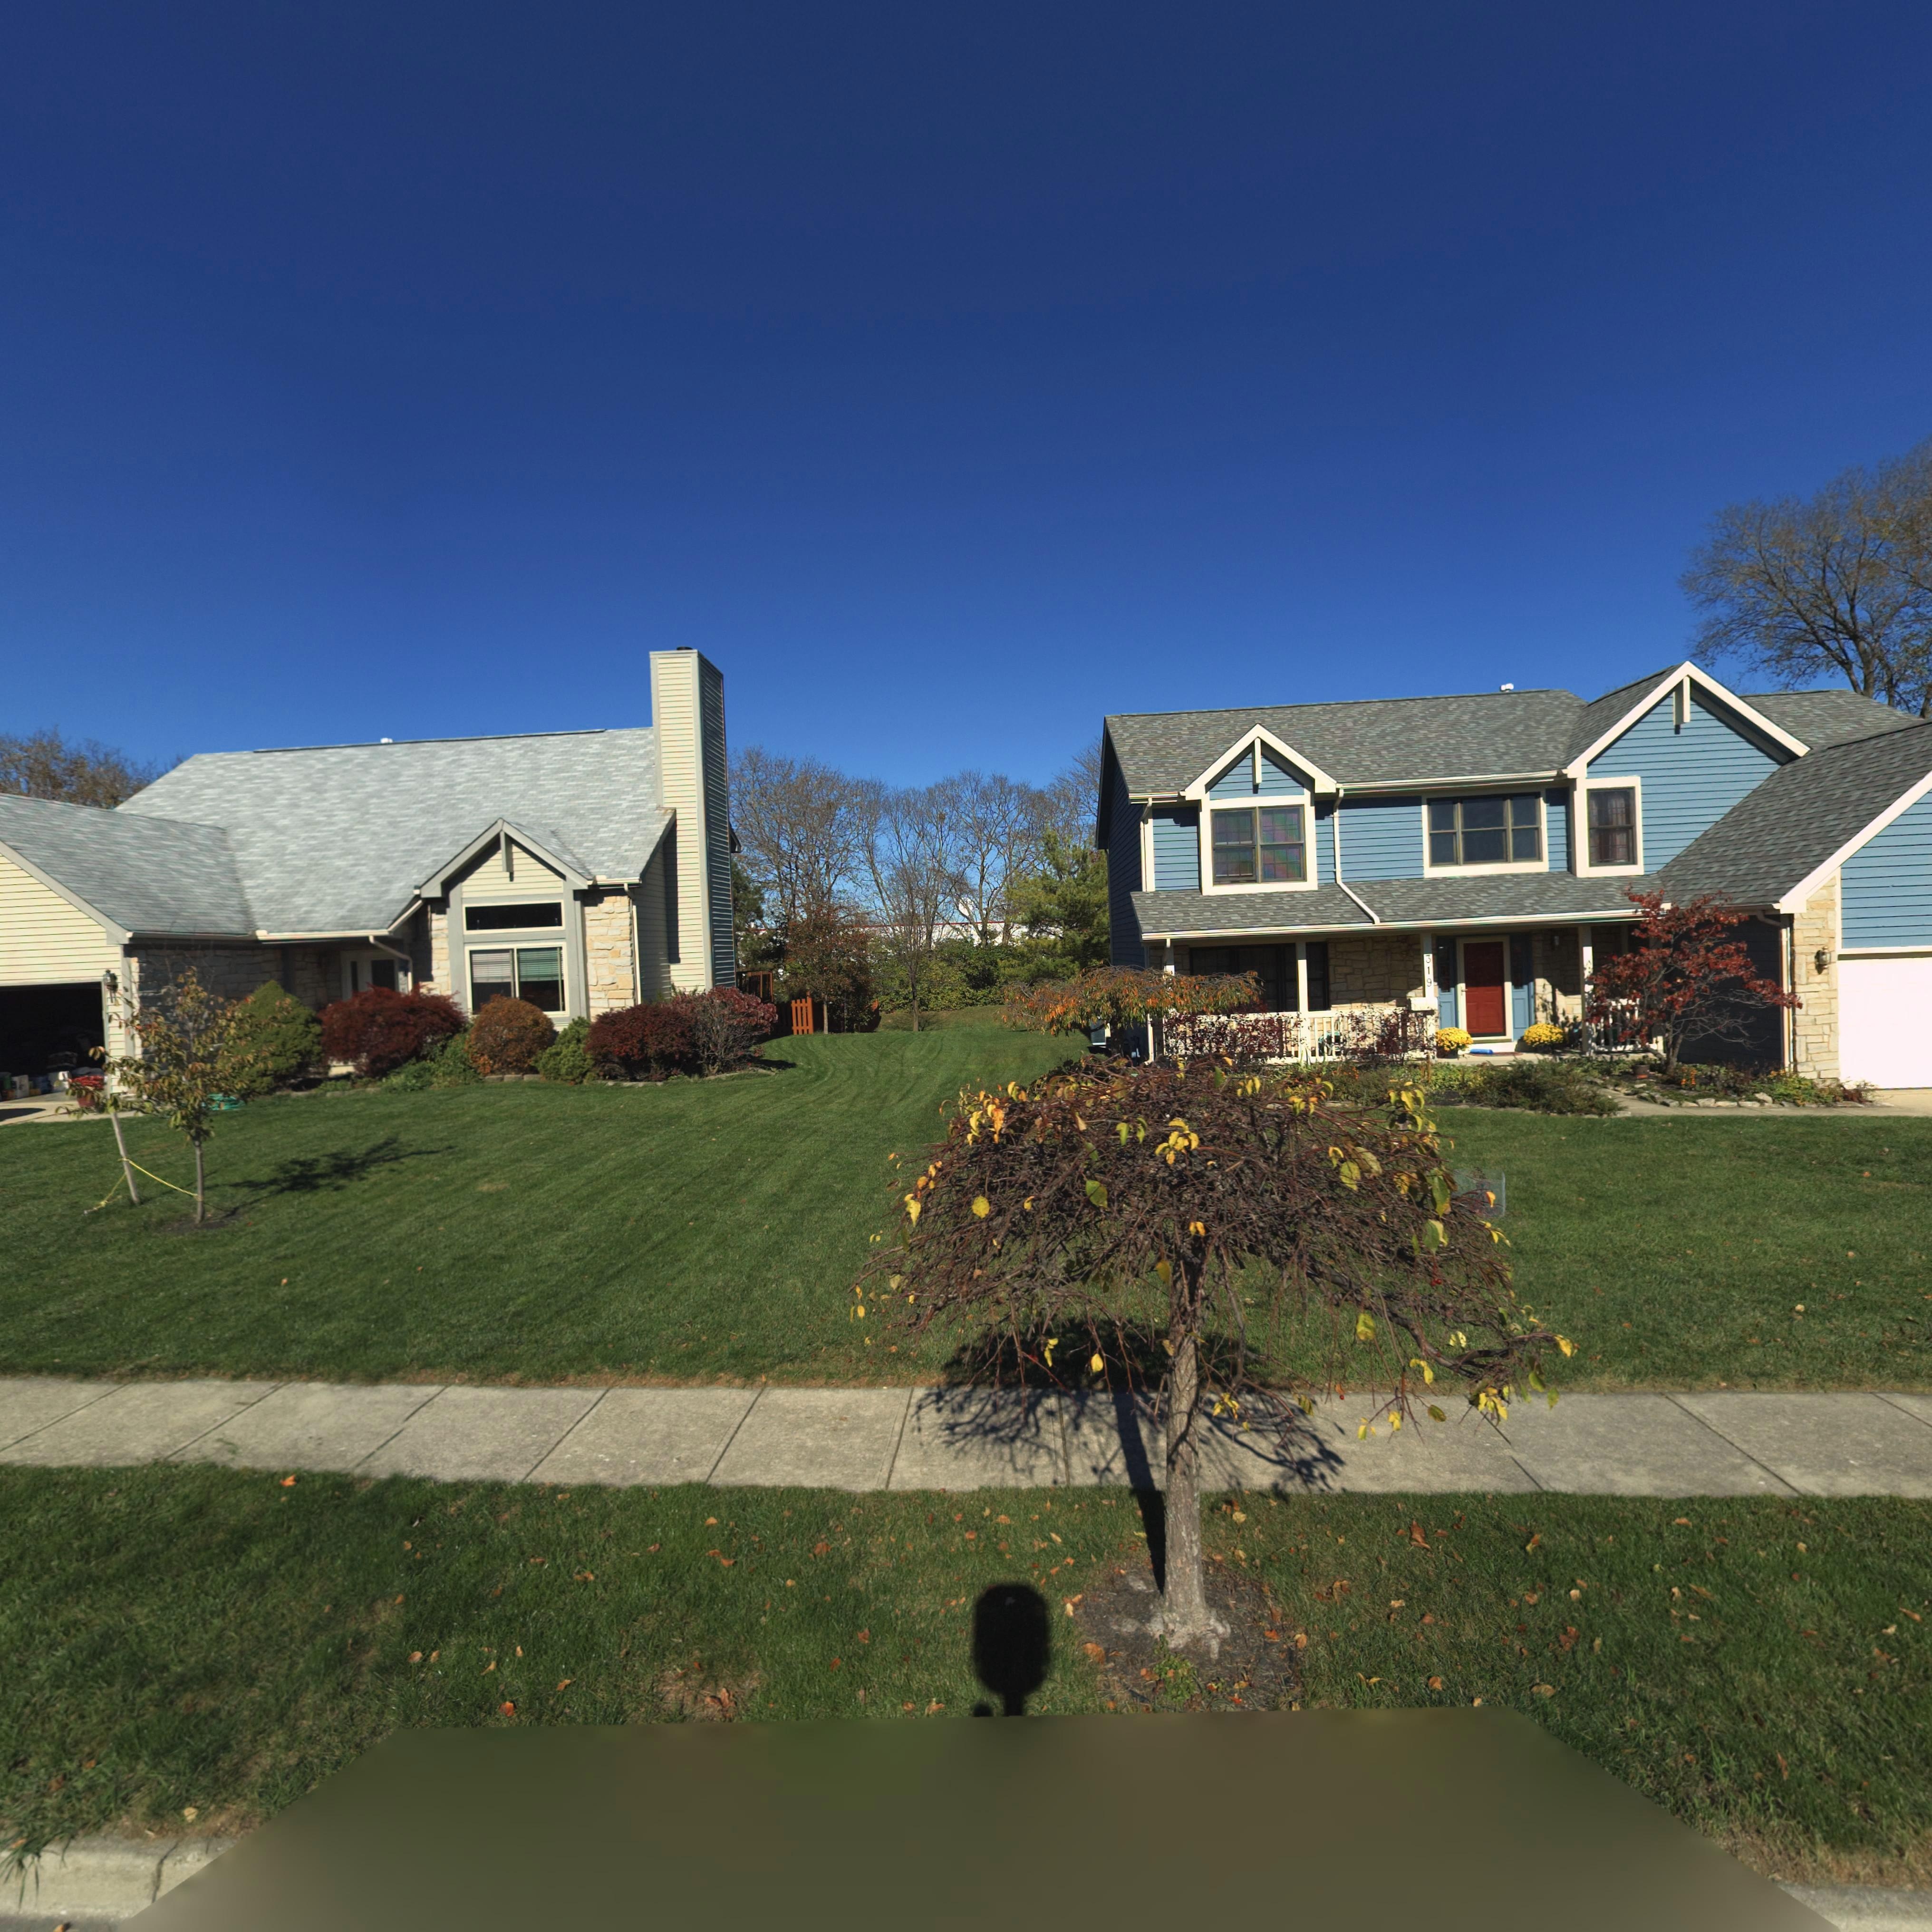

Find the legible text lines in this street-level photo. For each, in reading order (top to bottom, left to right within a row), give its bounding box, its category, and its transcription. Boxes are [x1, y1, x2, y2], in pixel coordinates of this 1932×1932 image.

[1425, 953, 1433, 988] StreetNumber: 319